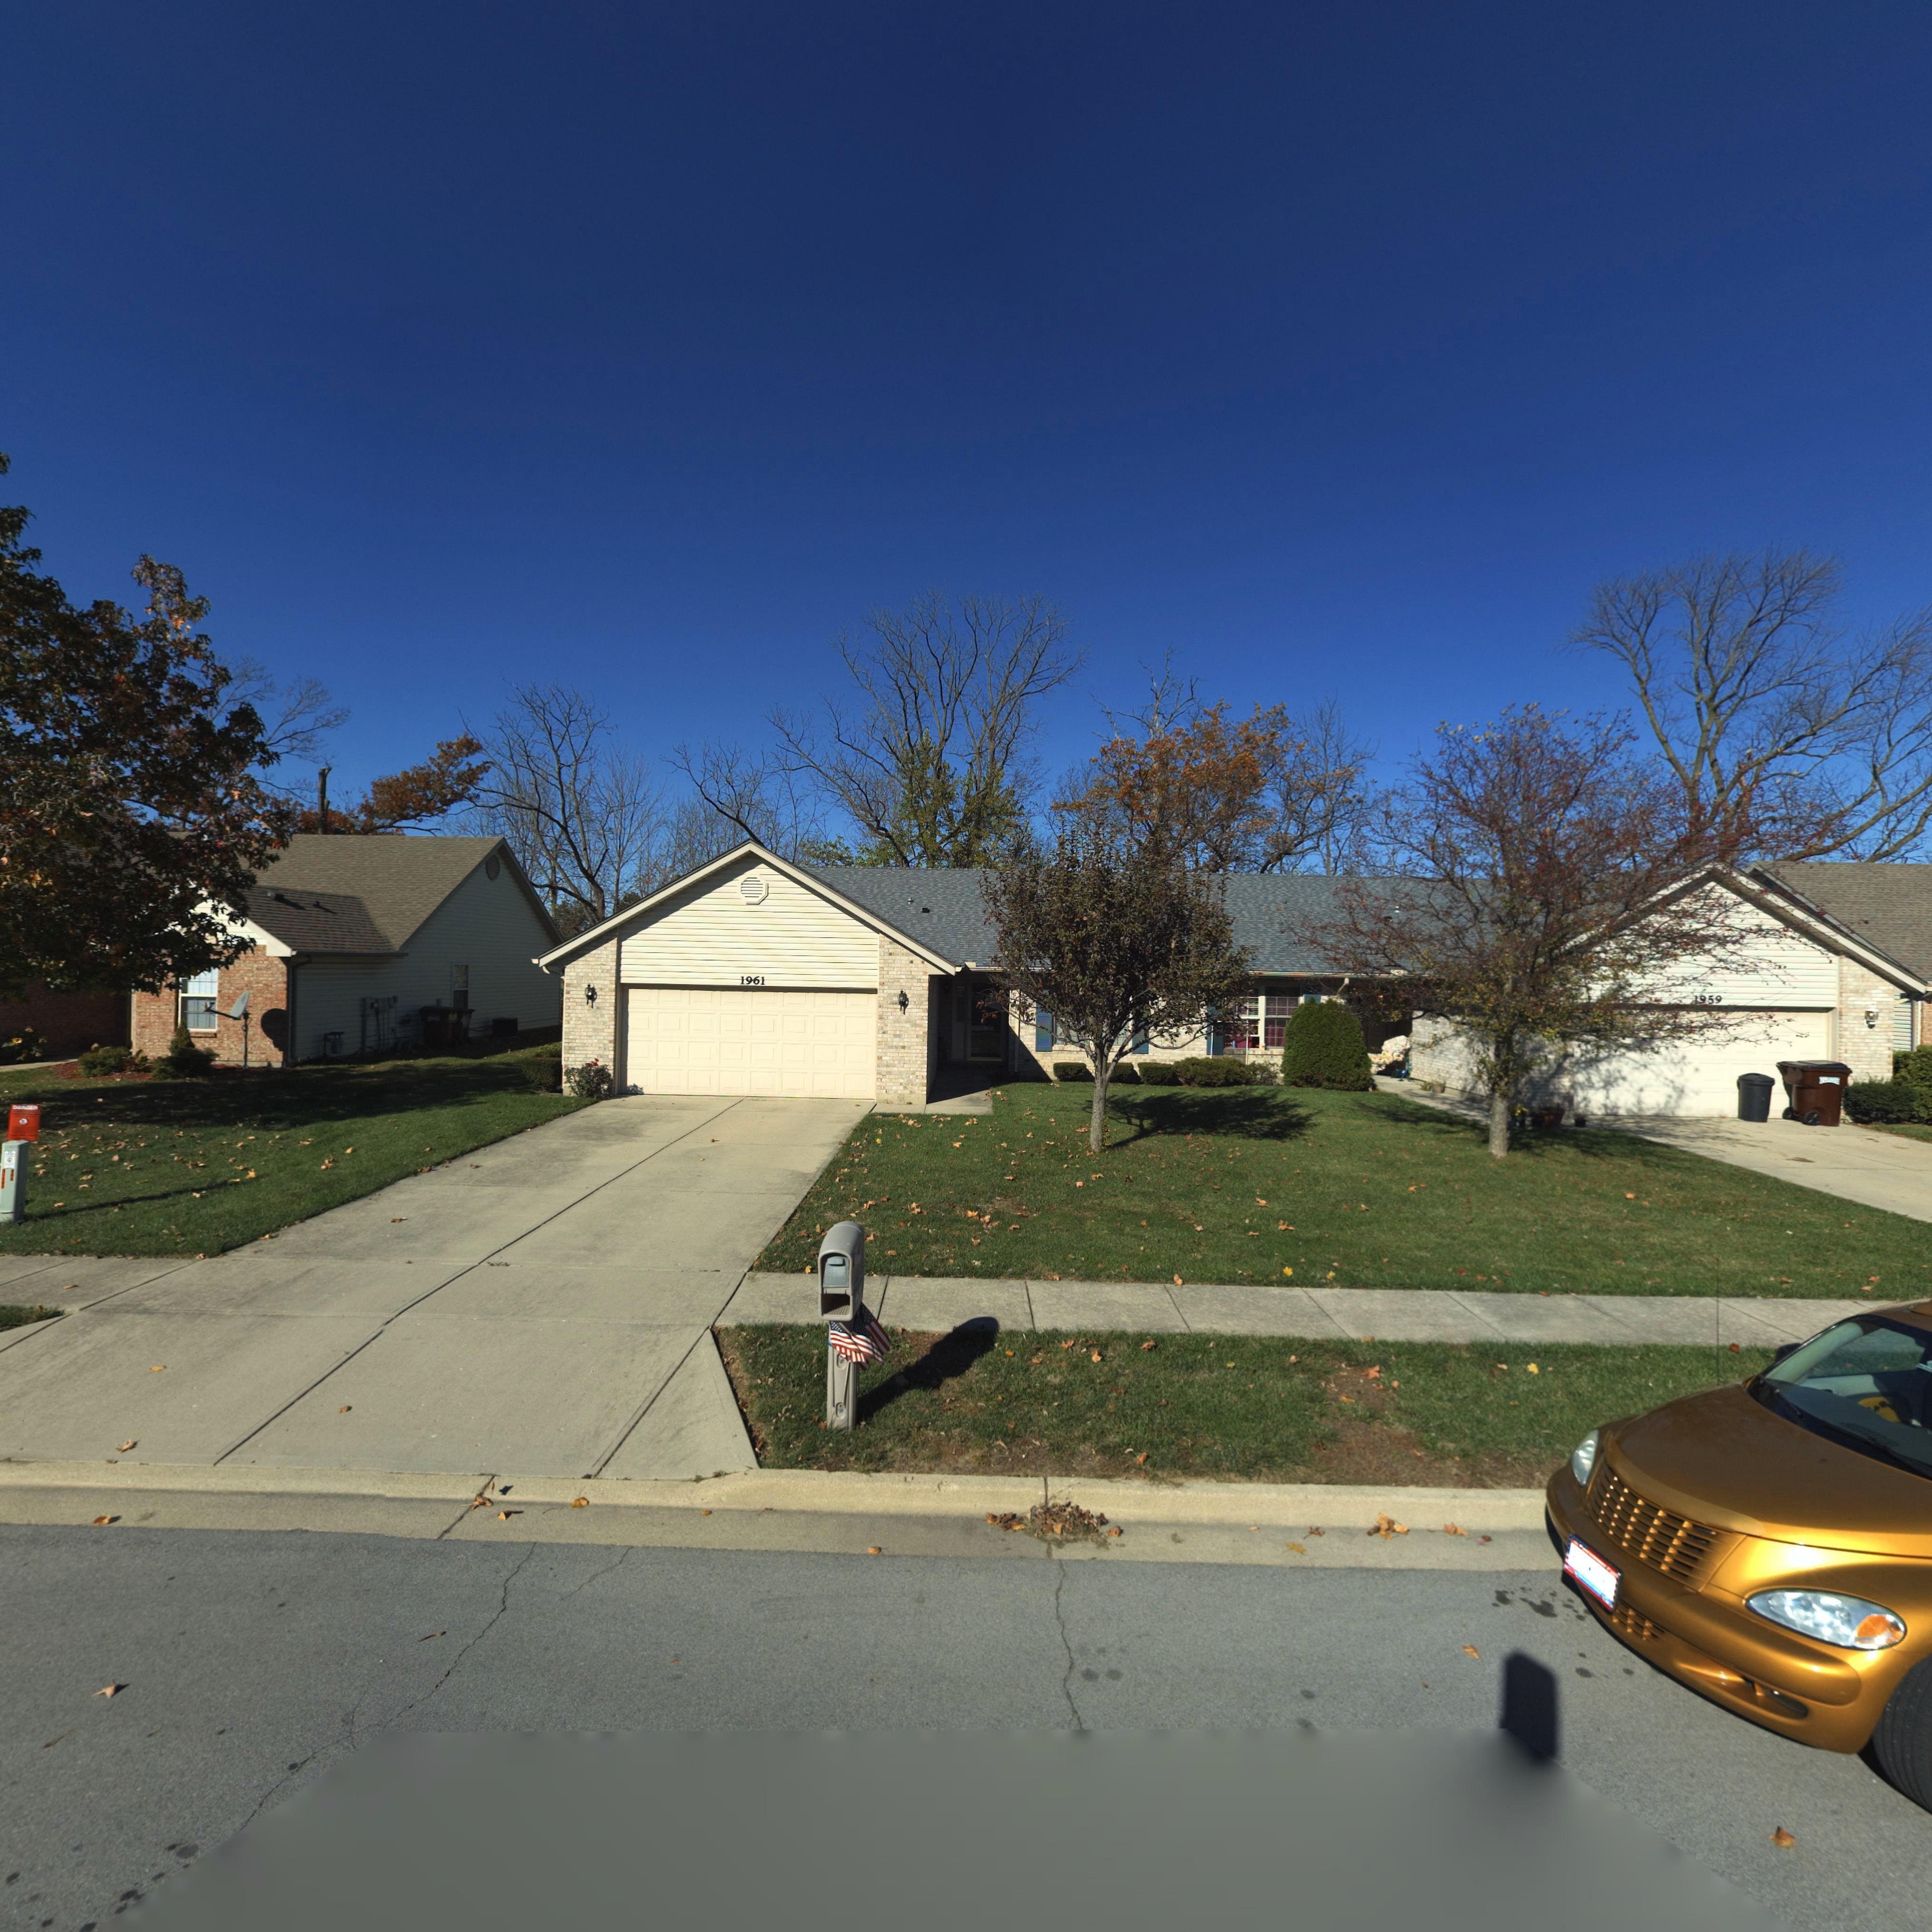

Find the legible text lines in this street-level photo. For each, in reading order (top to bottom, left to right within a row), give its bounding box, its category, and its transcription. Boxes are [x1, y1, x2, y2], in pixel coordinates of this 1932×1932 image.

[740, 975, 766, 986] StreetNumber: 1961
[1693, 994, 1724, 1005] StreetNumber: 1959